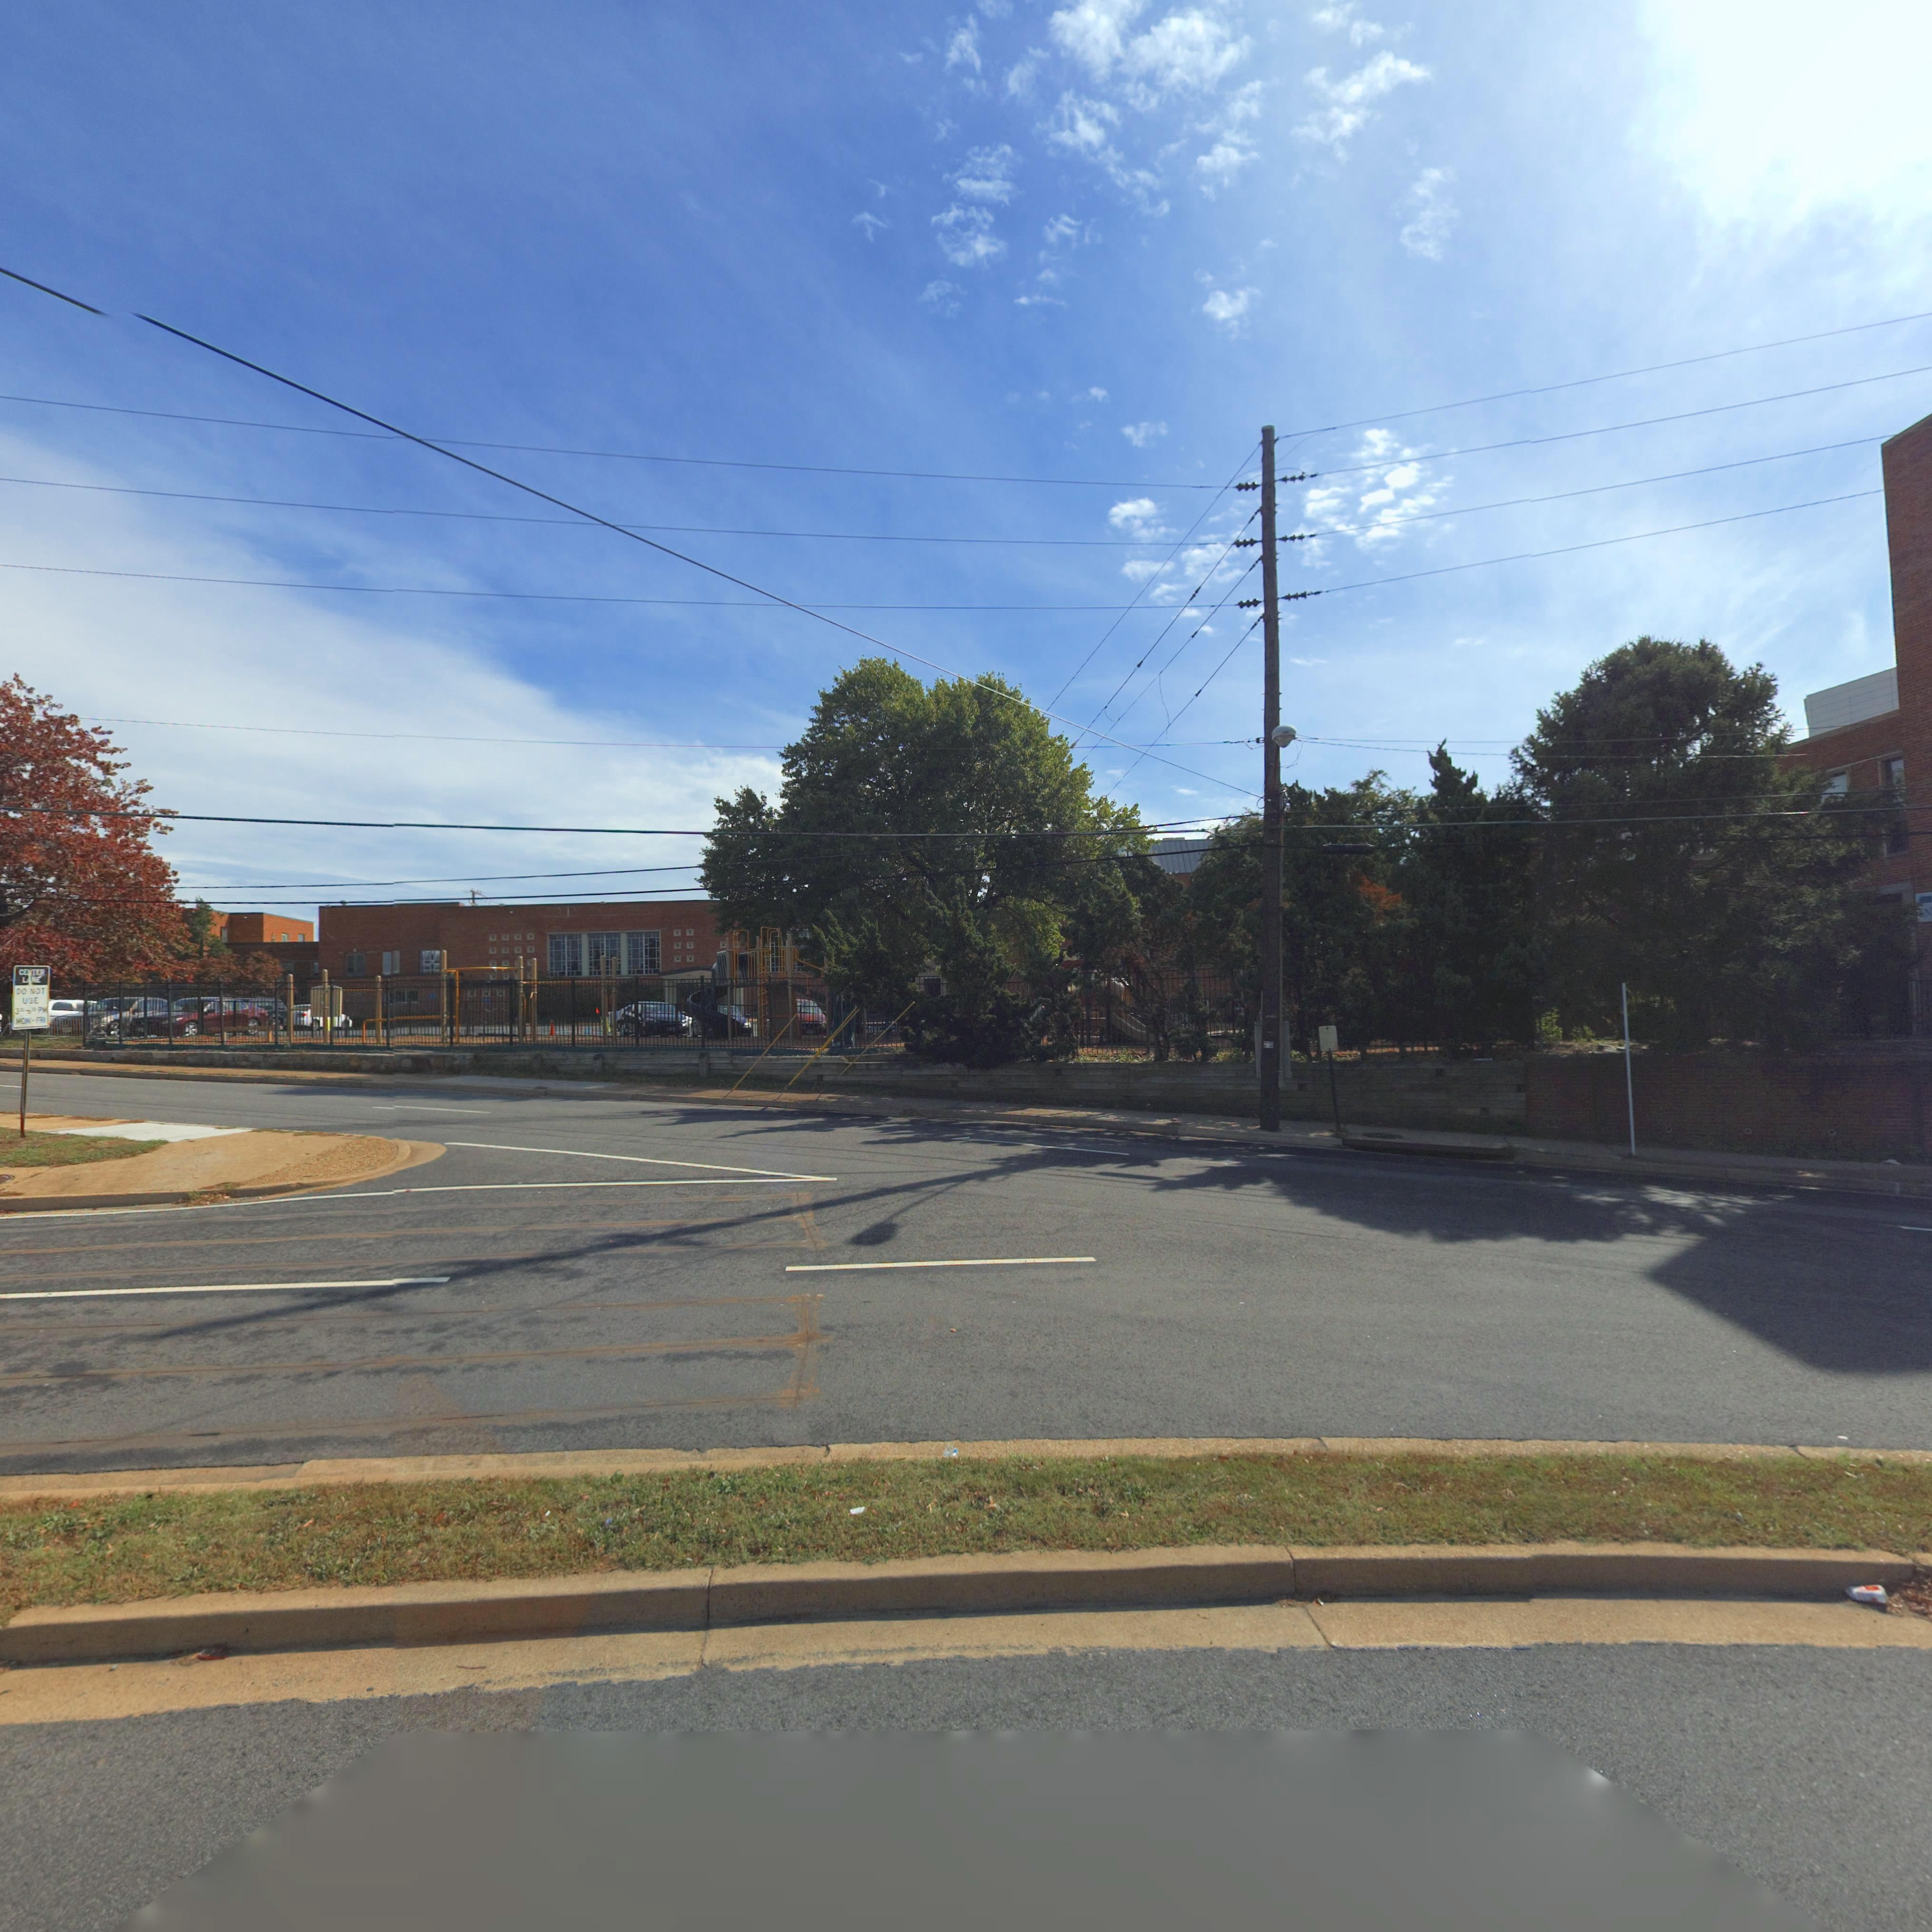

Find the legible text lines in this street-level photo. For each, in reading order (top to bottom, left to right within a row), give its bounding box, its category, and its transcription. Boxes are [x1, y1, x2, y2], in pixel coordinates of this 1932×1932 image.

[19, 968, 46, 976] None: CE*TER
[21, 976, 41, 984] None: L*NE
[16, 987, 45, 995] None: DO NOT
[22, 997, 39, 1005] None: USE
[38, 1006, 47, 1014] None: PM
[15, 1016, 47, 1024] None: MON-FRI